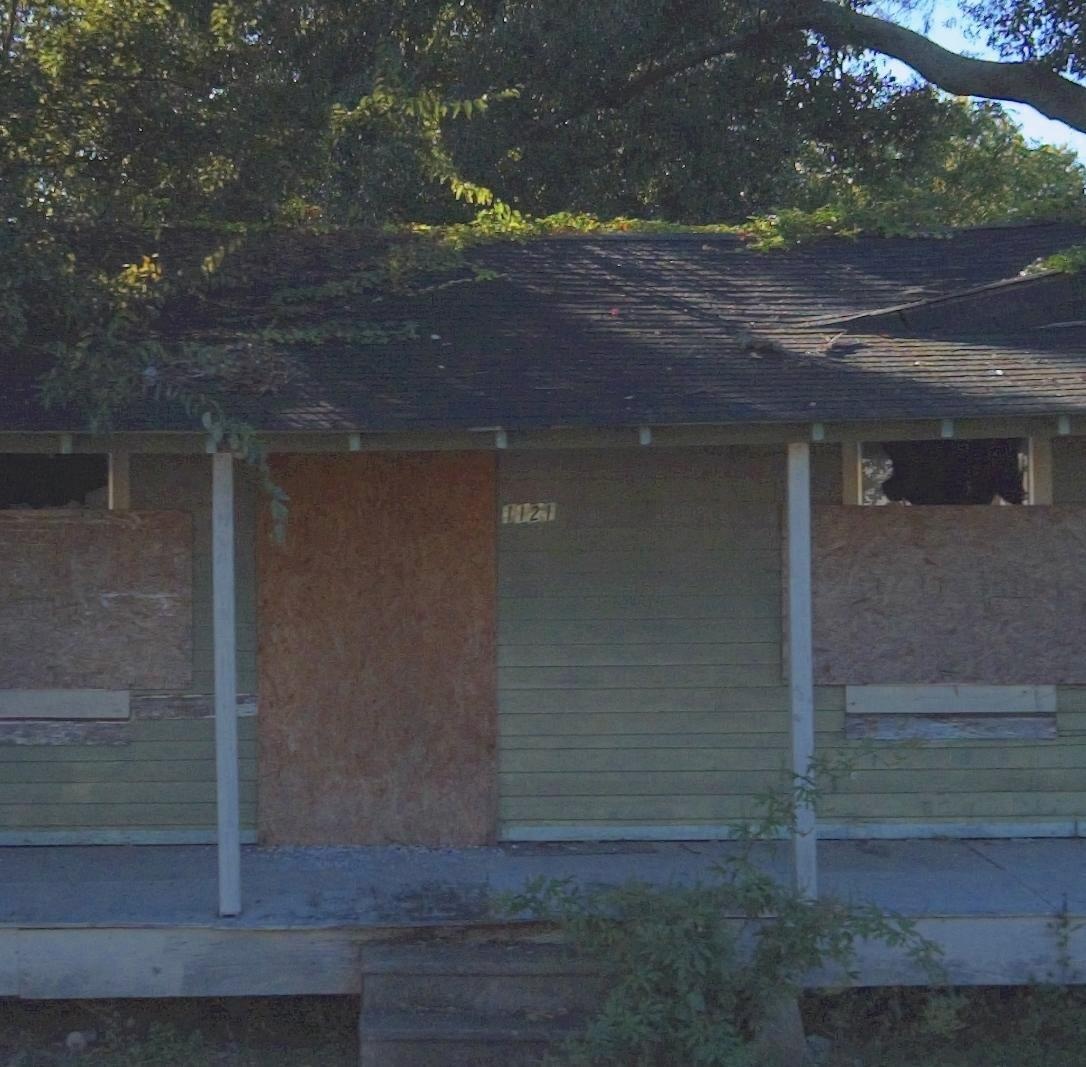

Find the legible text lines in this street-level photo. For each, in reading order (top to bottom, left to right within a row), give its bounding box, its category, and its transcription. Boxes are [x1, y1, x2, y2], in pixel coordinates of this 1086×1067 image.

[504, 500, 555, 525] StreetNumber: 1121